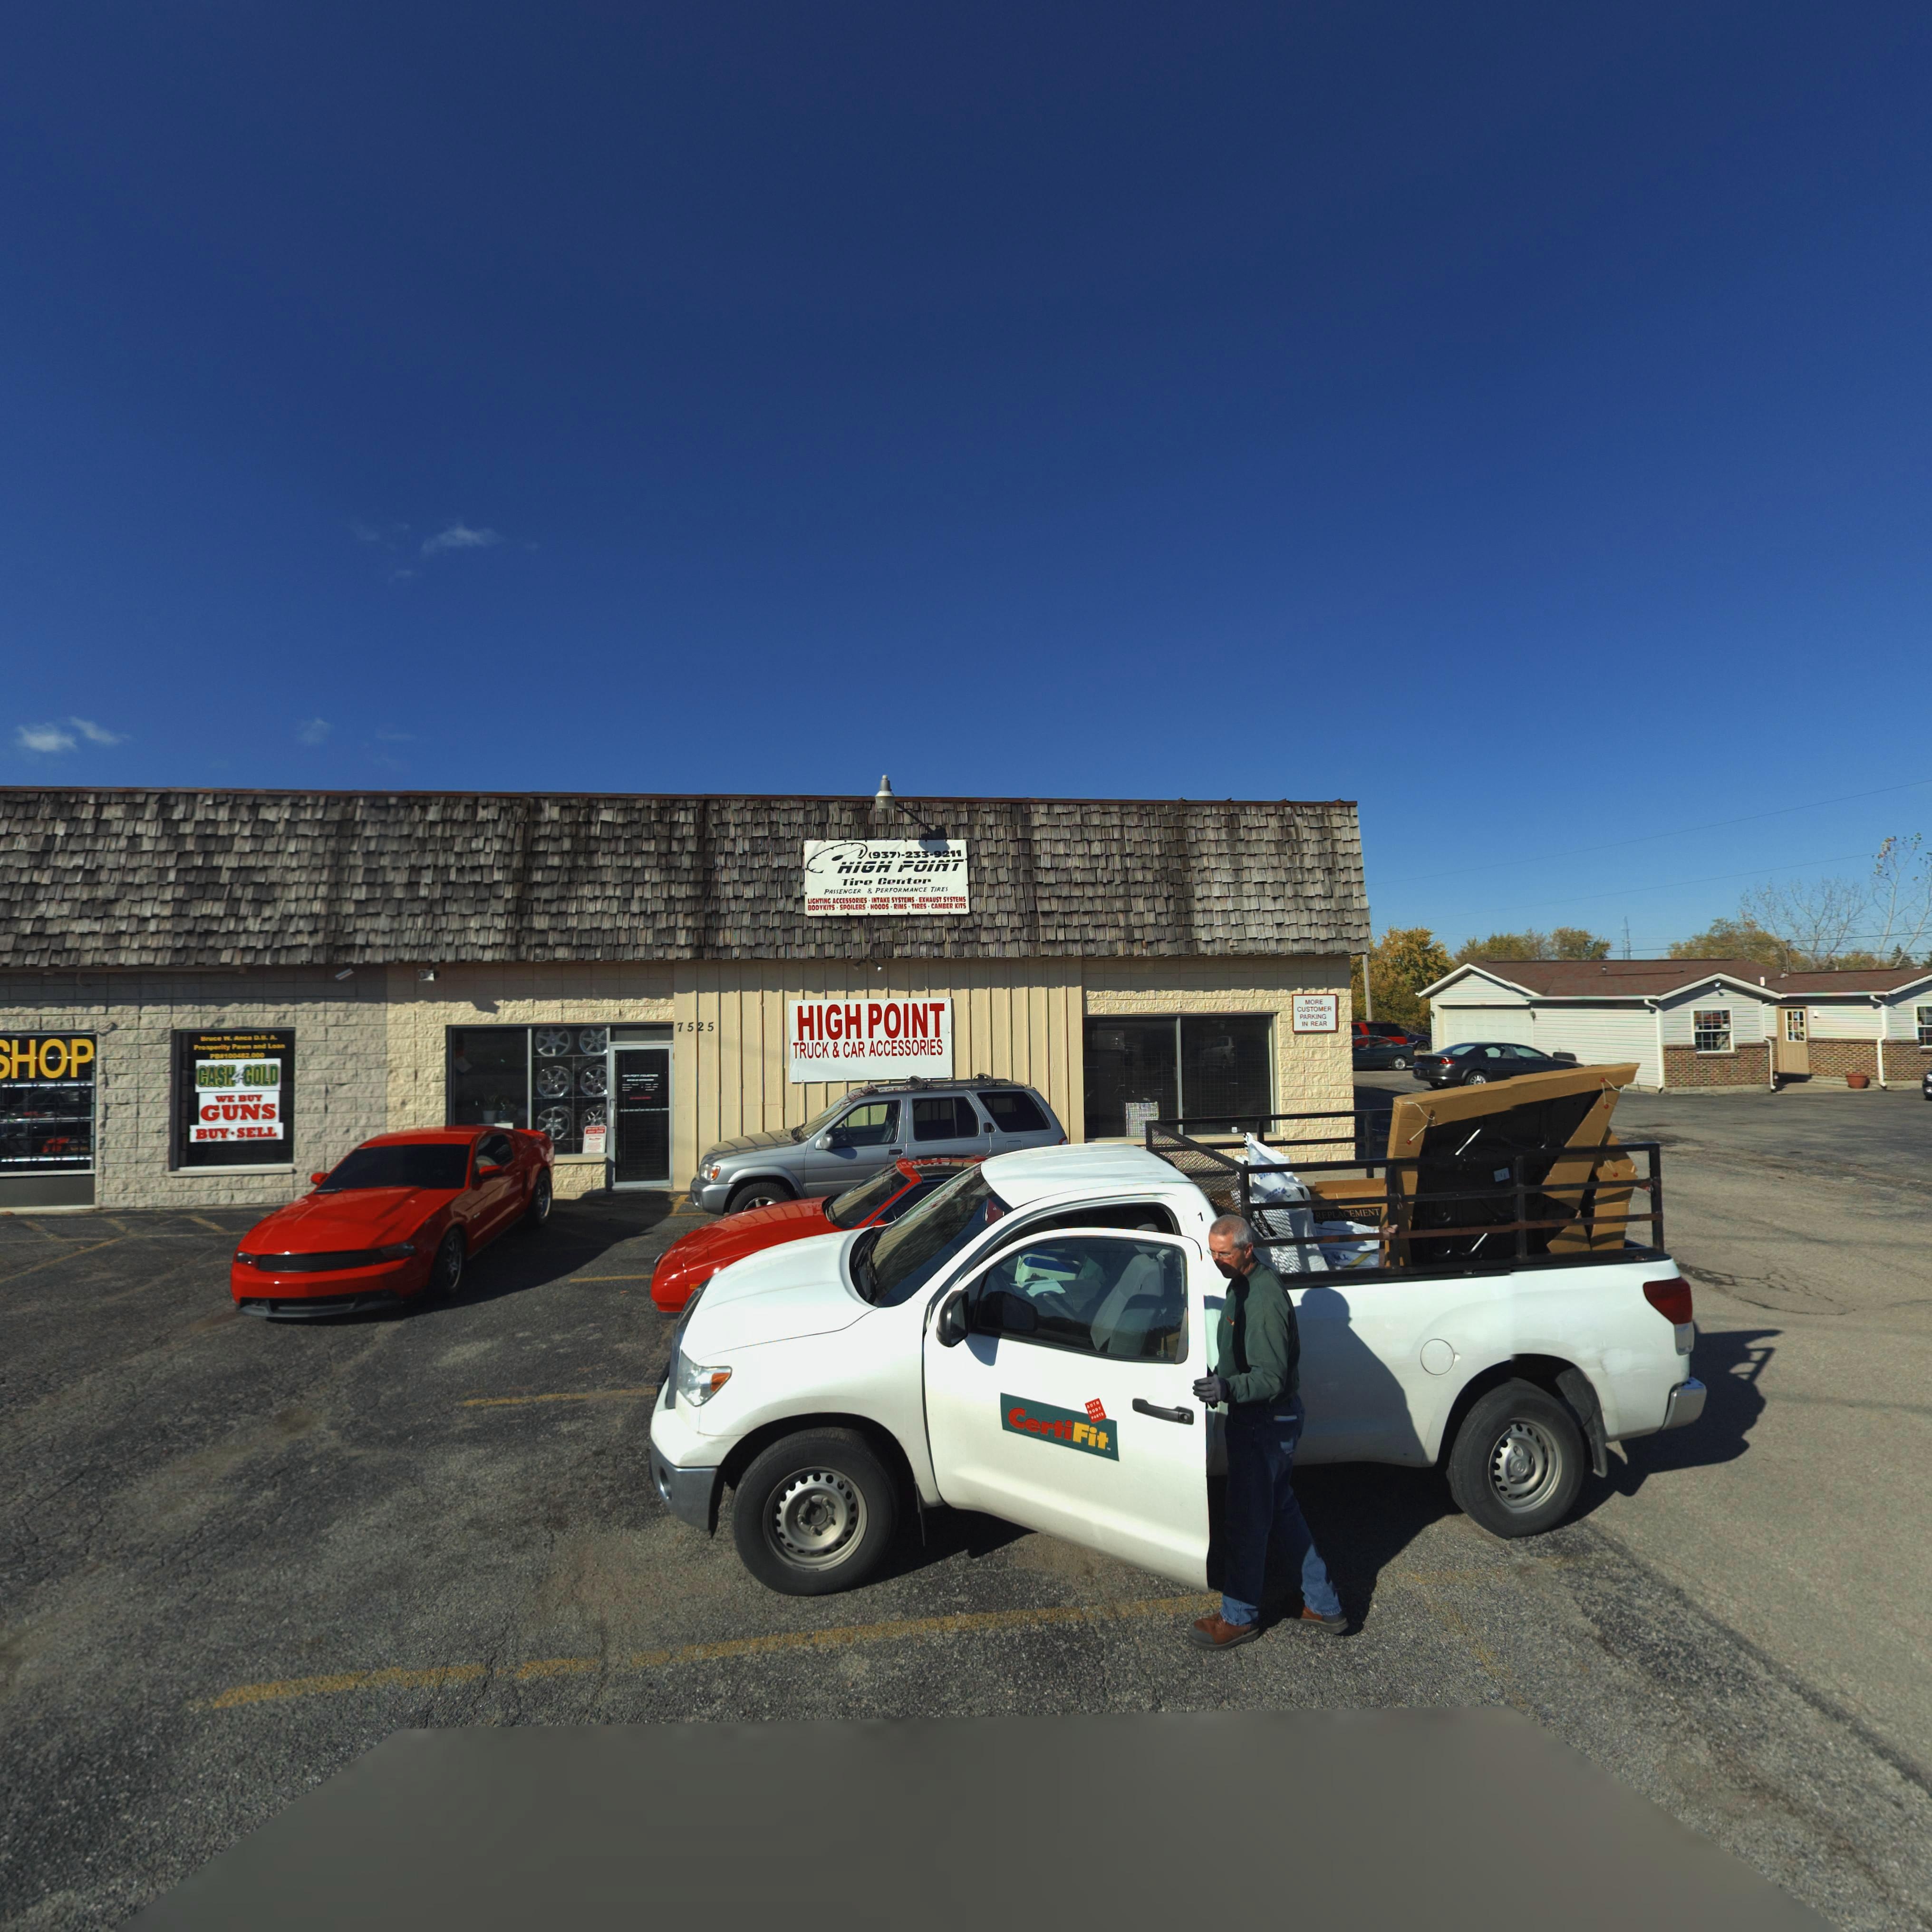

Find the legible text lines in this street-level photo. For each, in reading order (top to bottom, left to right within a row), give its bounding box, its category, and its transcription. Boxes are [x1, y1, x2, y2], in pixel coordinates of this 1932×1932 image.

[836, 859, 965, 874] BusinessName: HIGH POINT
[676, 1021, 714, 1033] StreetNumber: 7525
[797, 1002, 945, 1042] BusinessName: HIGH POINT
[196, 1063, 280, 1088] BusinessName: CASH4GOLD